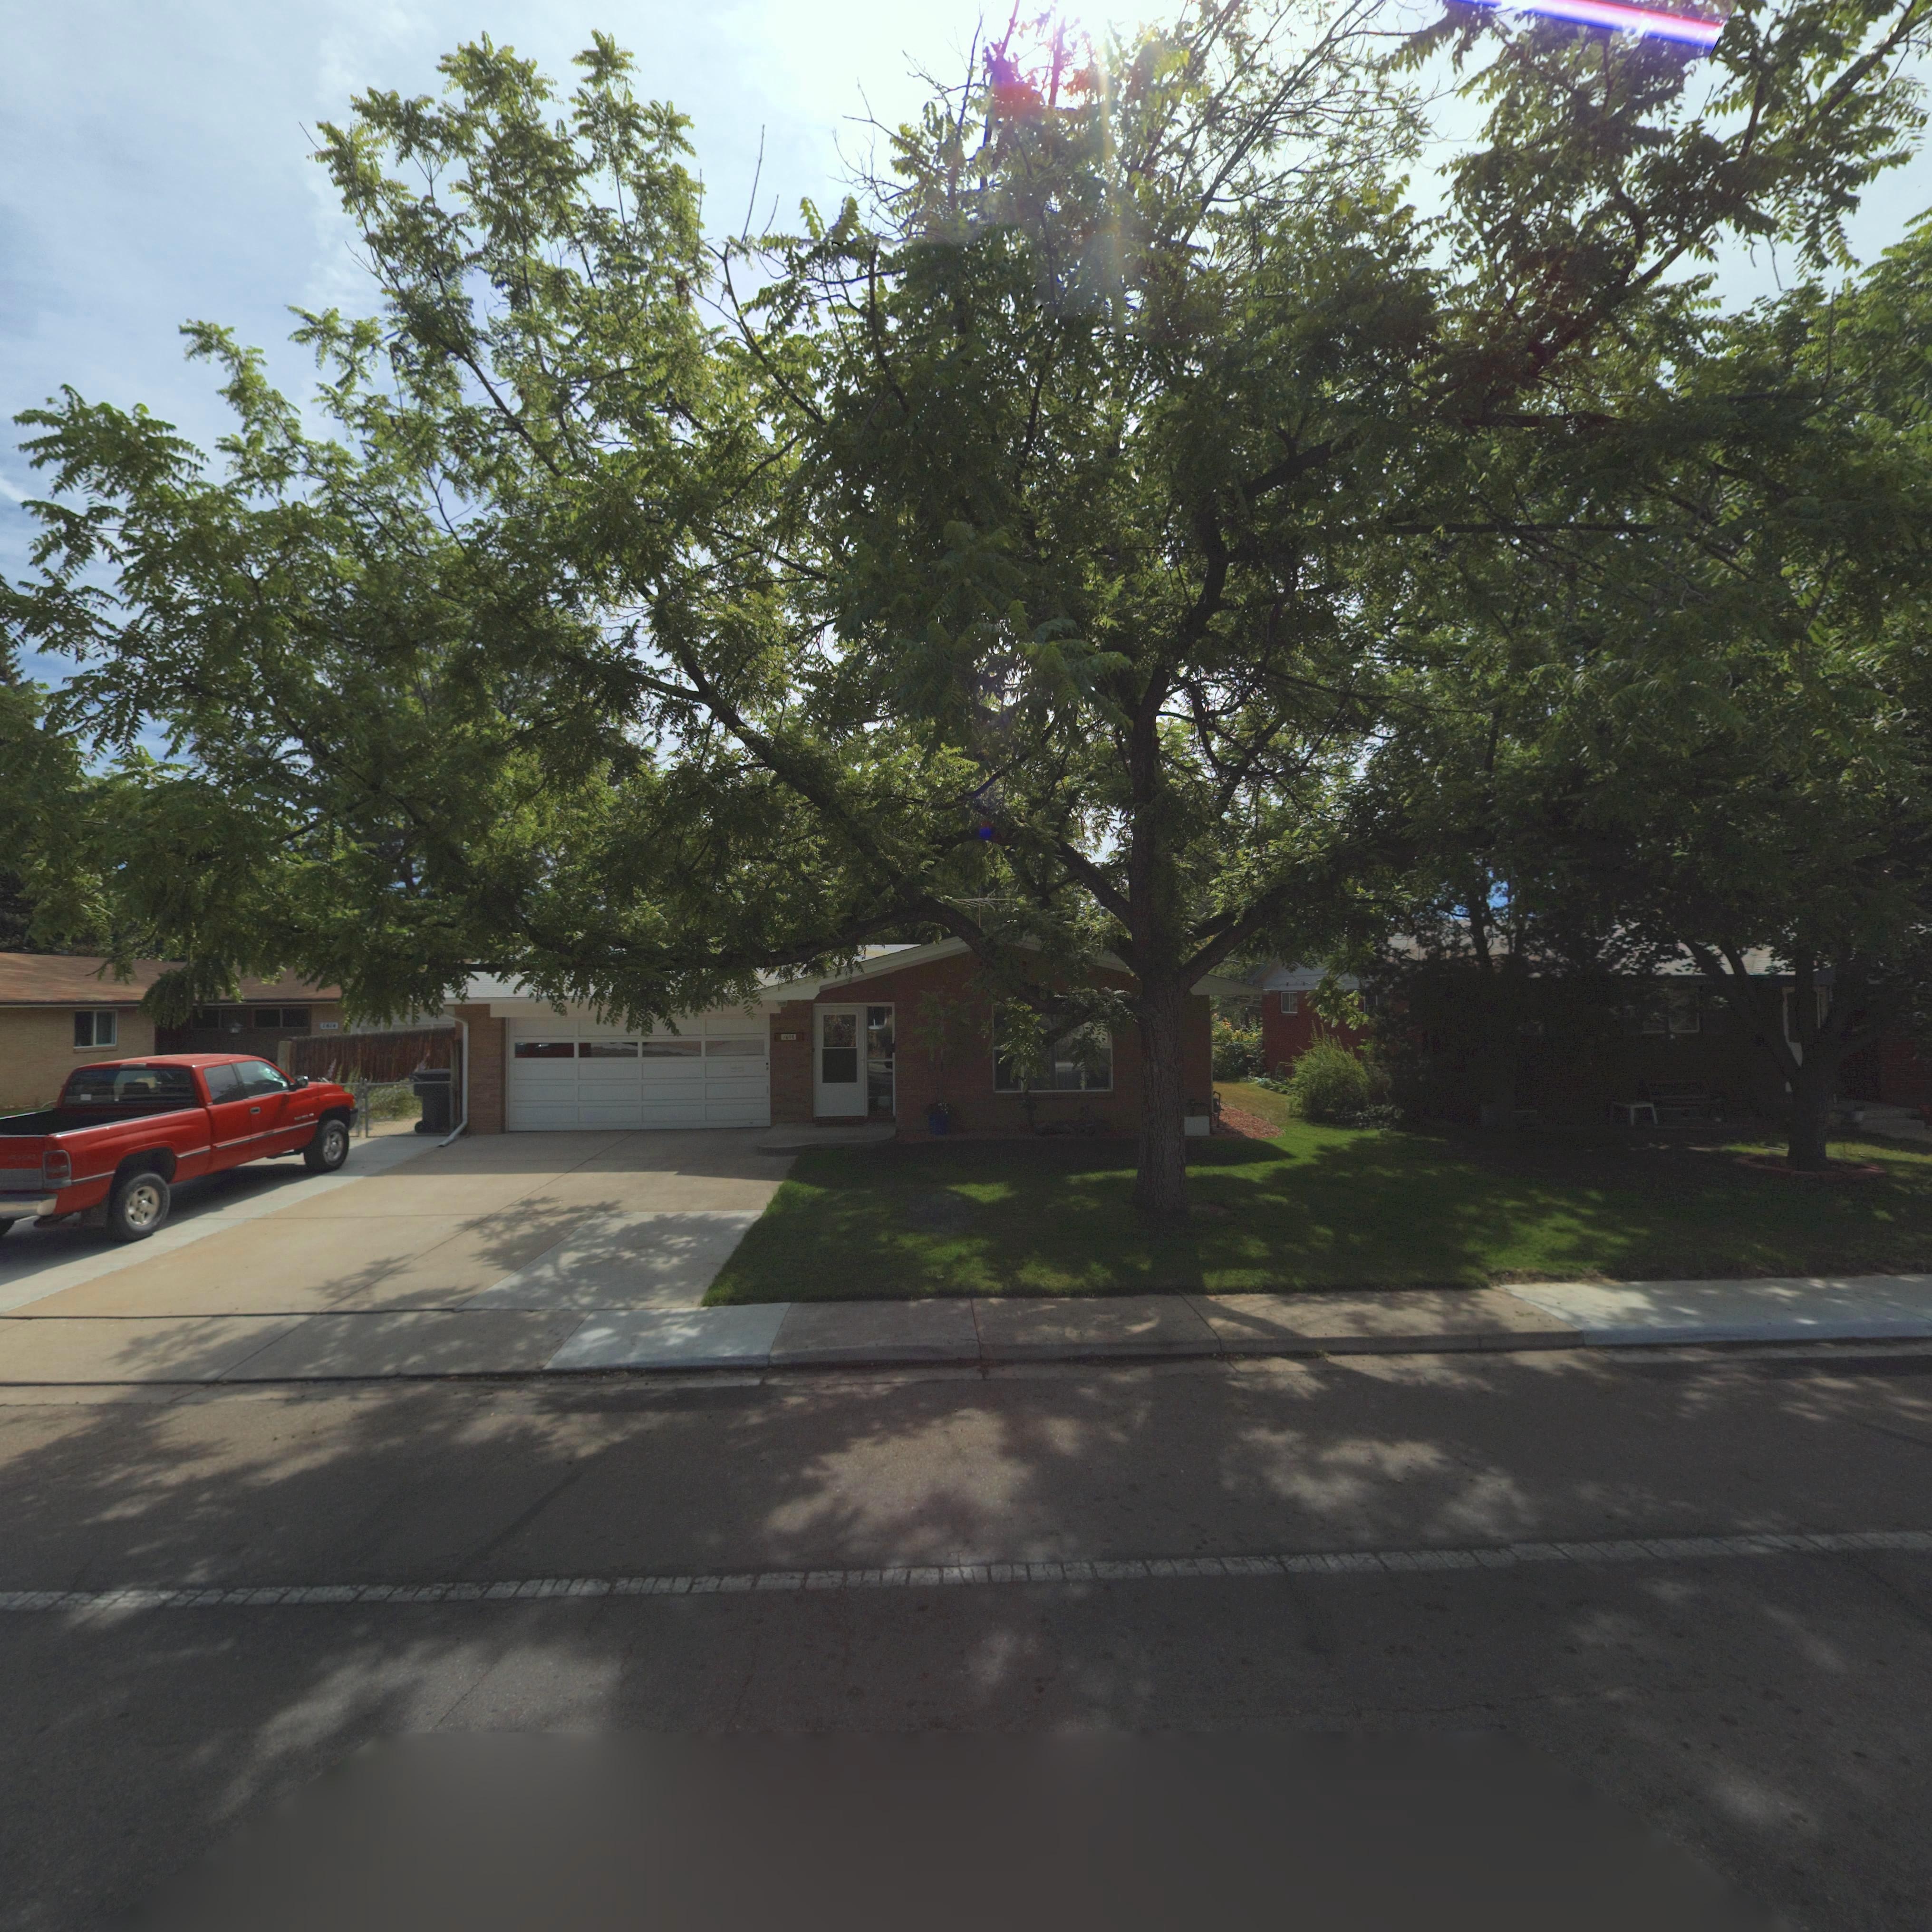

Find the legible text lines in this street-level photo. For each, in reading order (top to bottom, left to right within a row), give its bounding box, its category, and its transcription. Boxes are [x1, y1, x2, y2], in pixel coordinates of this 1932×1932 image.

[322, 1023, 336, 1028] StreetNumber: 1614
[782, 1034, 794, 1039] StreetNumber: 16**